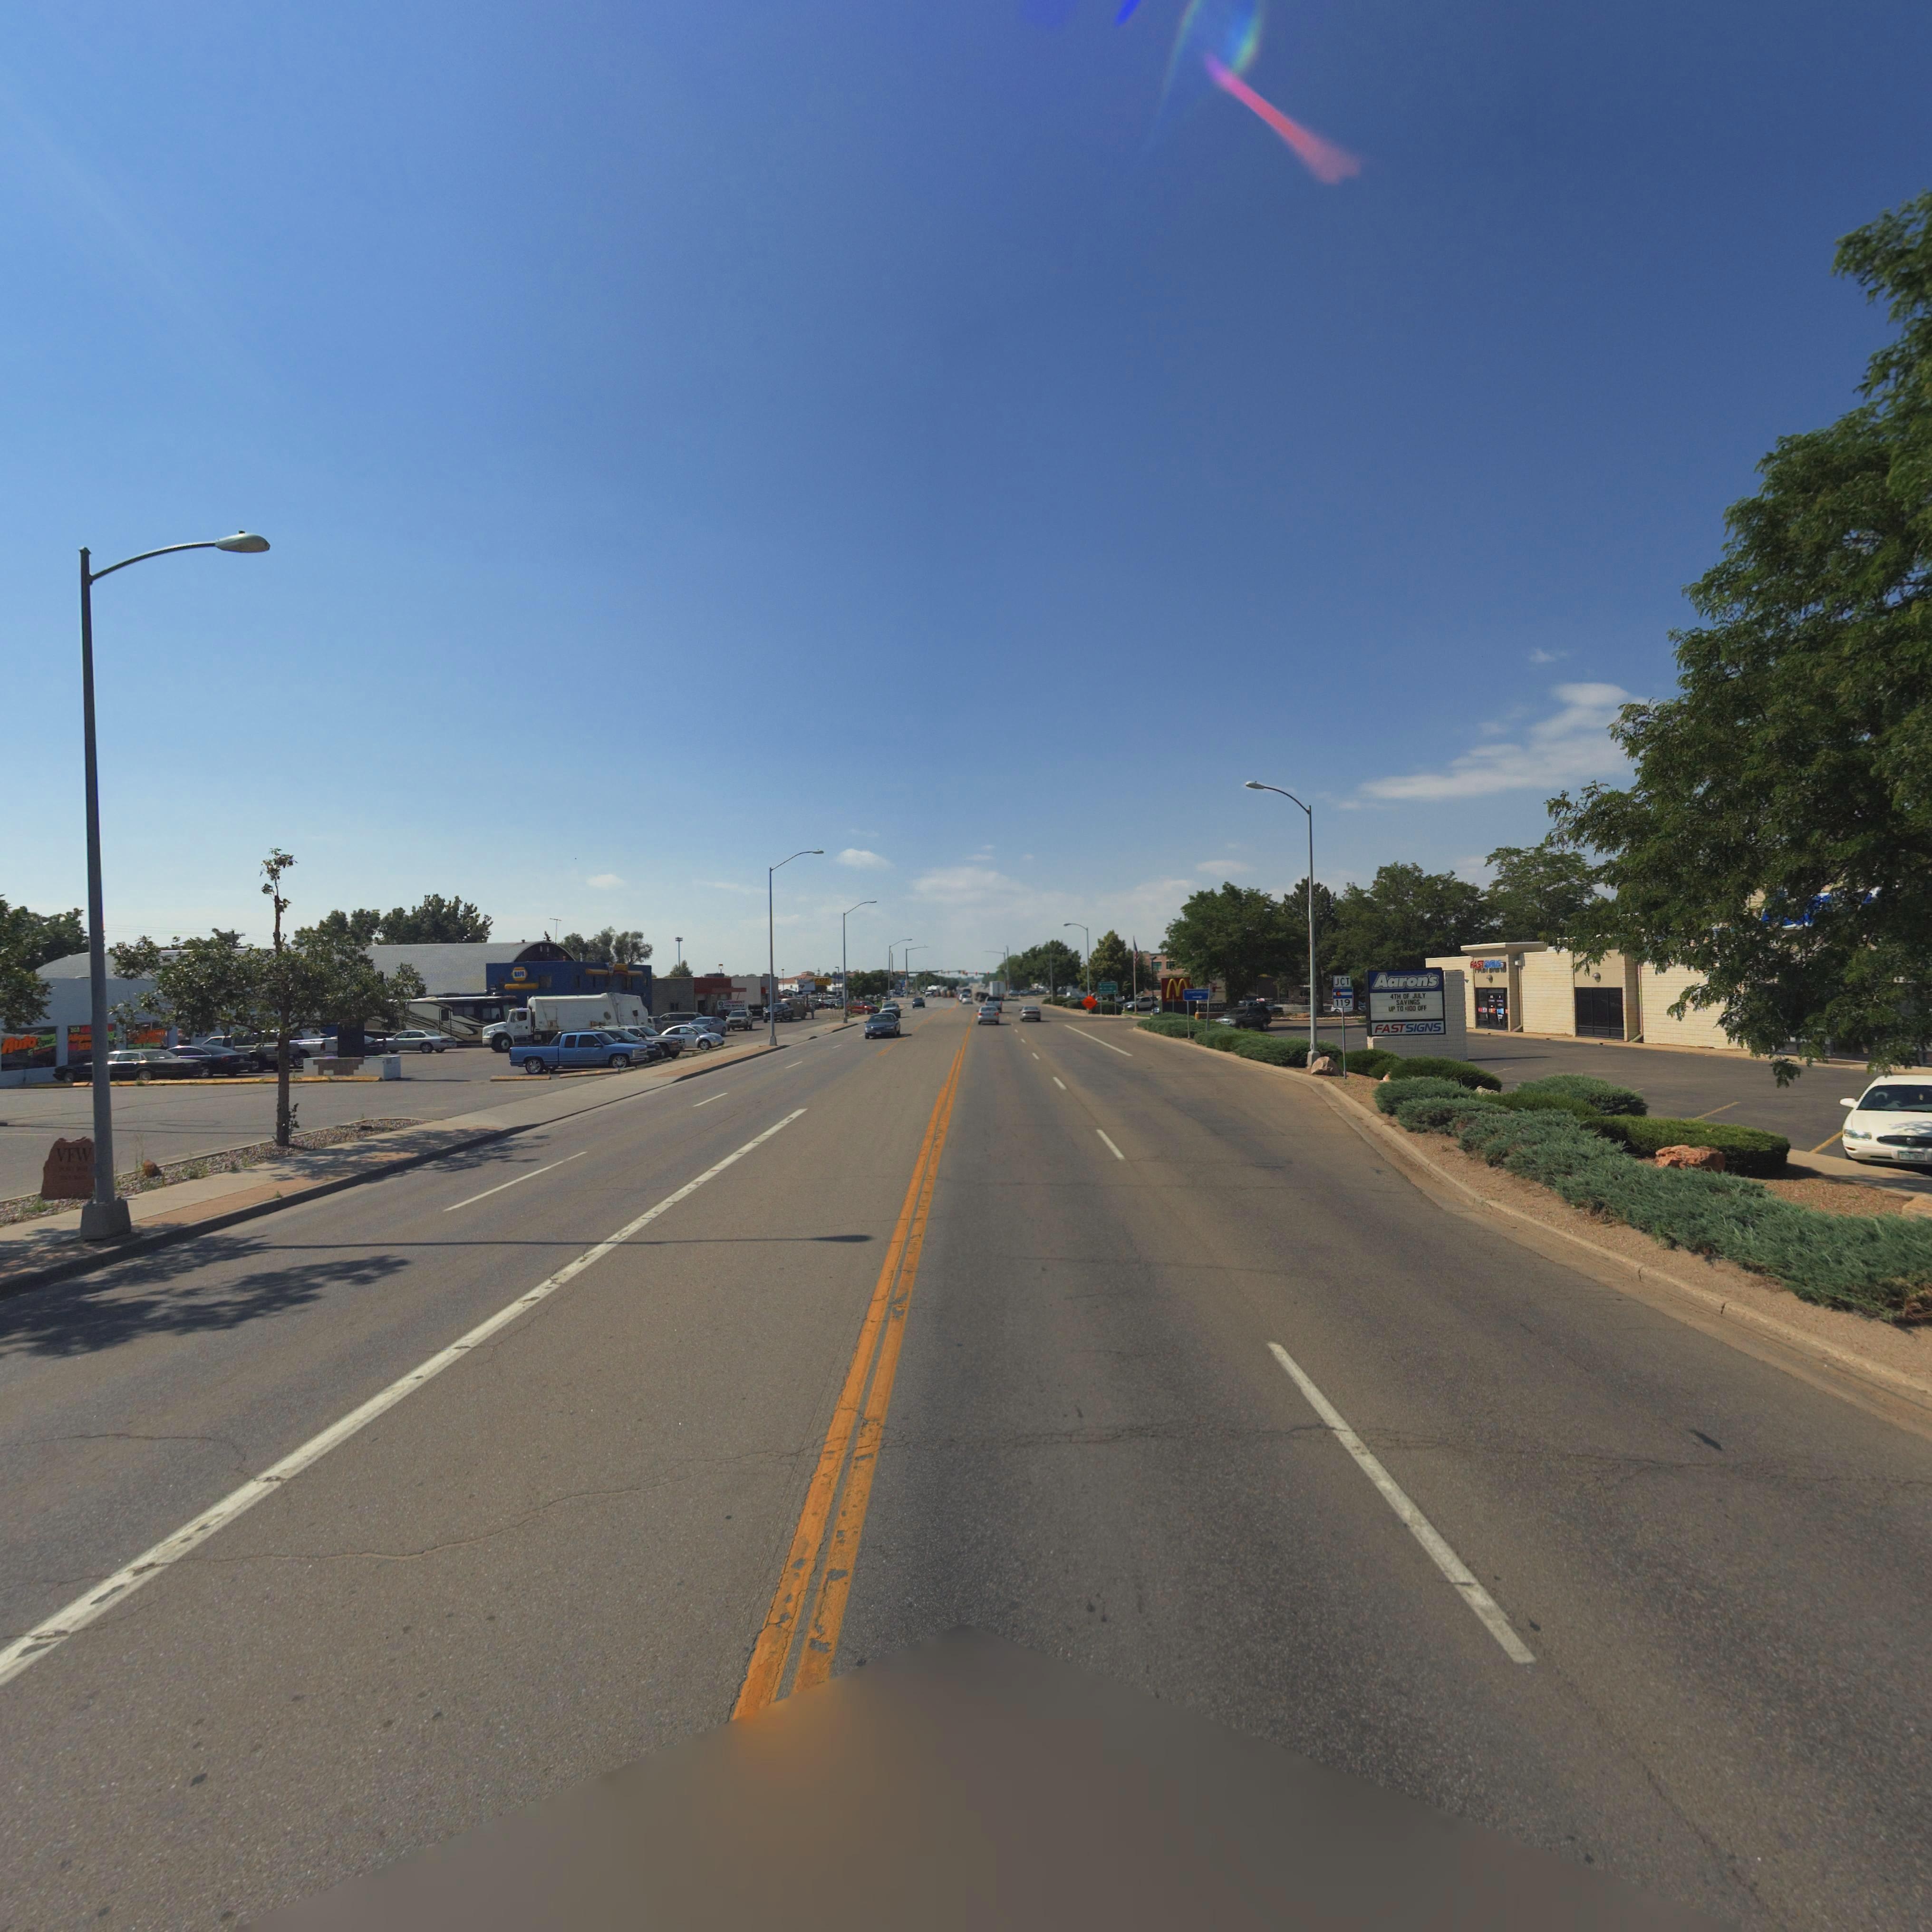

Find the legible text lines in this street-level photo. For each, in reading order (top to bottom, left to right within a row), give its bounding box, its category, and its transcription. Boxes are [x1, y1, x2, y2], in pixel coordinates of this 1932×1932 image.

[1469, 958, 1504, 968] BusinessName: FASTS***S
[514, 970, 524, 977] BusinessName: NAPA
[813, 977, 830, 982] BusinessName: ZOE
[1372, 972, 1439, 989] BusinessName: Aaron's
[1374, 1022, 1442, 1034] BusinessName: FASTSIGNS